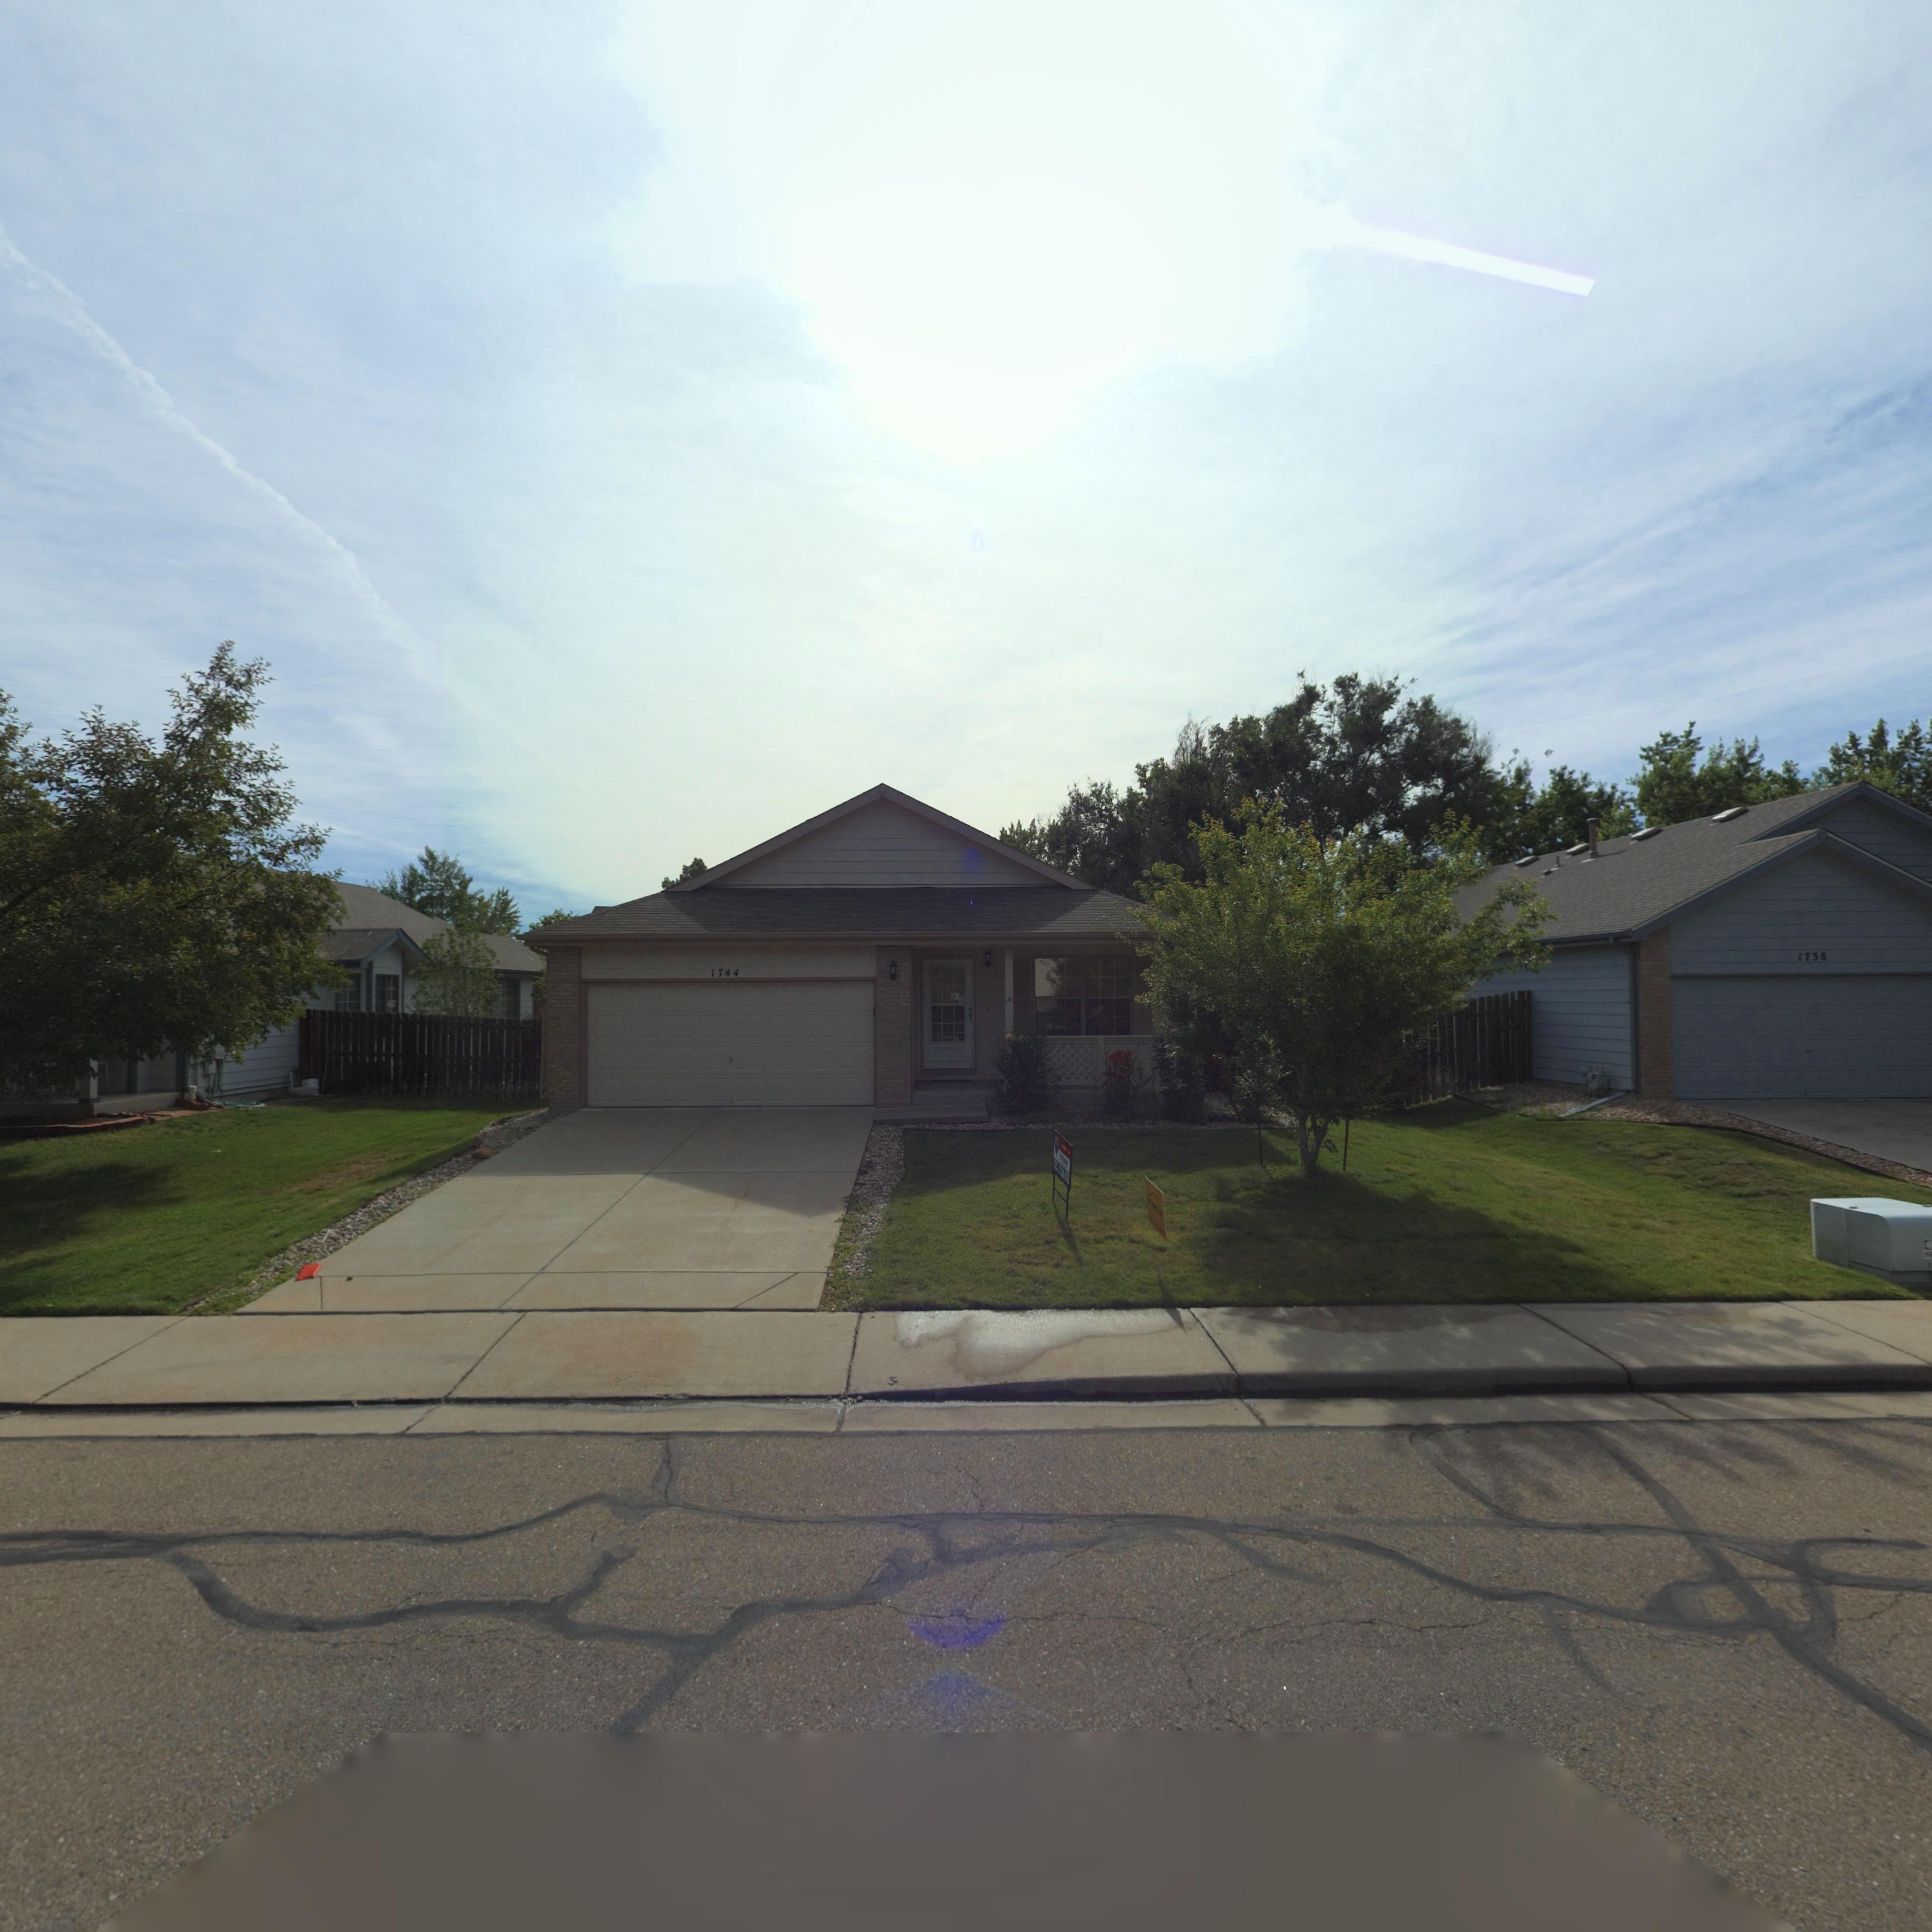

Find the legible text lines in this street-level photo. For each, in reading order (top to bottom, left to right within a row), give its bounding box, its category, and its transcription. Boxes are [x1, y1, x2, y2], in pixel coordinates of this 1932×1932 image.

[1798, 951, 1826, 961] StreetNumber: 1738
[711, 968, 739, 977] StreetNumber: 1744